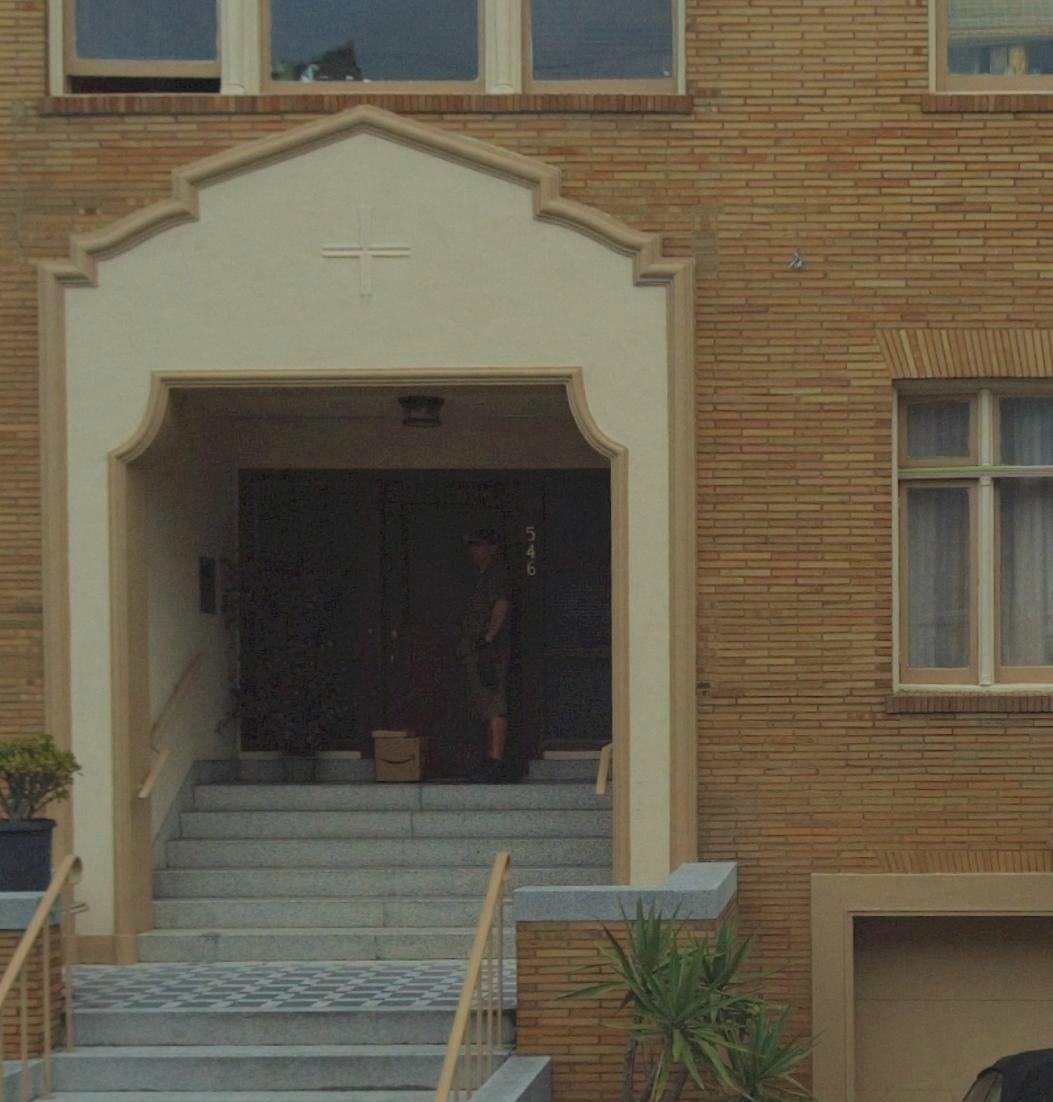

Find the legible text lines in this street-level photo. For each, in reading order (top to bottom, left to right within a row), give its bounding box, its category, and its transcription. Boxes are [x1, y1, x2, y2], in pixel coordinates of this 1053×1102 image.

[524, 524, 538, 578] StreetNumber: 546